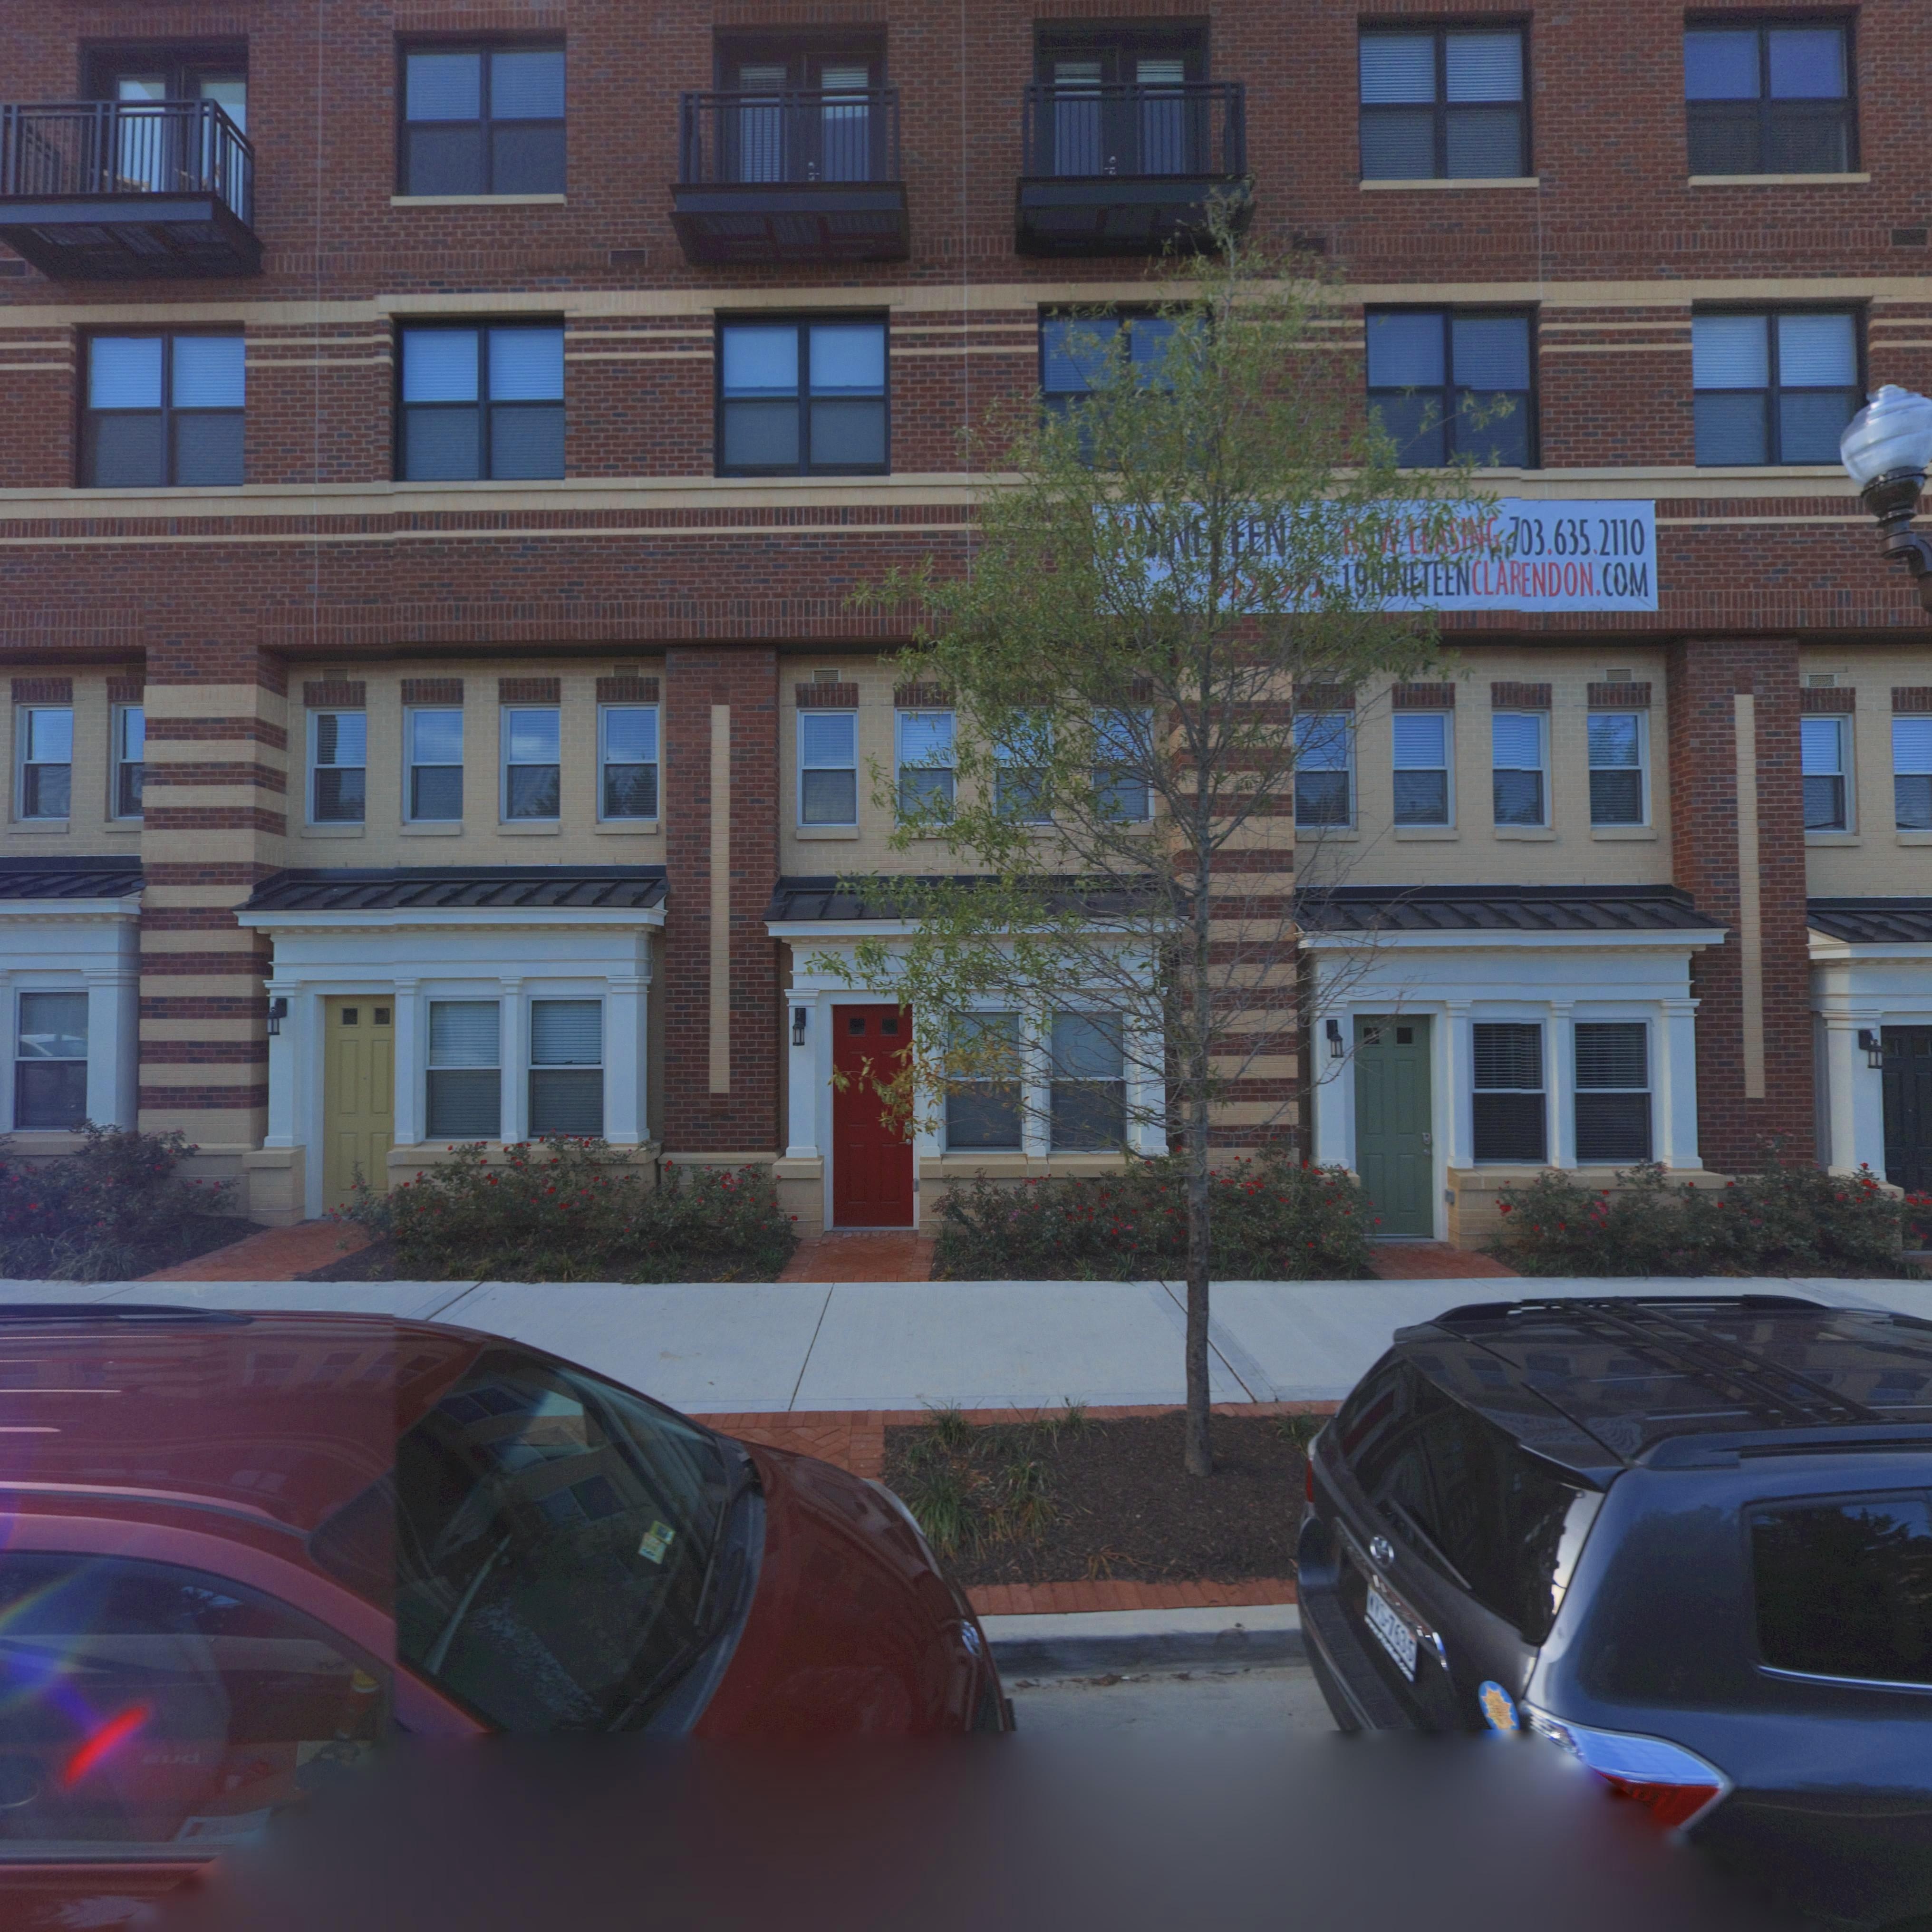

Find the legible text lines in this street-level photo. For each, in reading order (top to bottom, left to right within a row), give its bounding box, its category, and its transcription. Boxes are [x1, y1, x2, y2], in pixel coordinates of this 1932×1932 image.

[1519, 514, 1648, 558] None: 03.635.2110
[1519, 559, 1652, 600] None: ENDON.COM
[1386, 1610, 1417, 1665] None: 7635